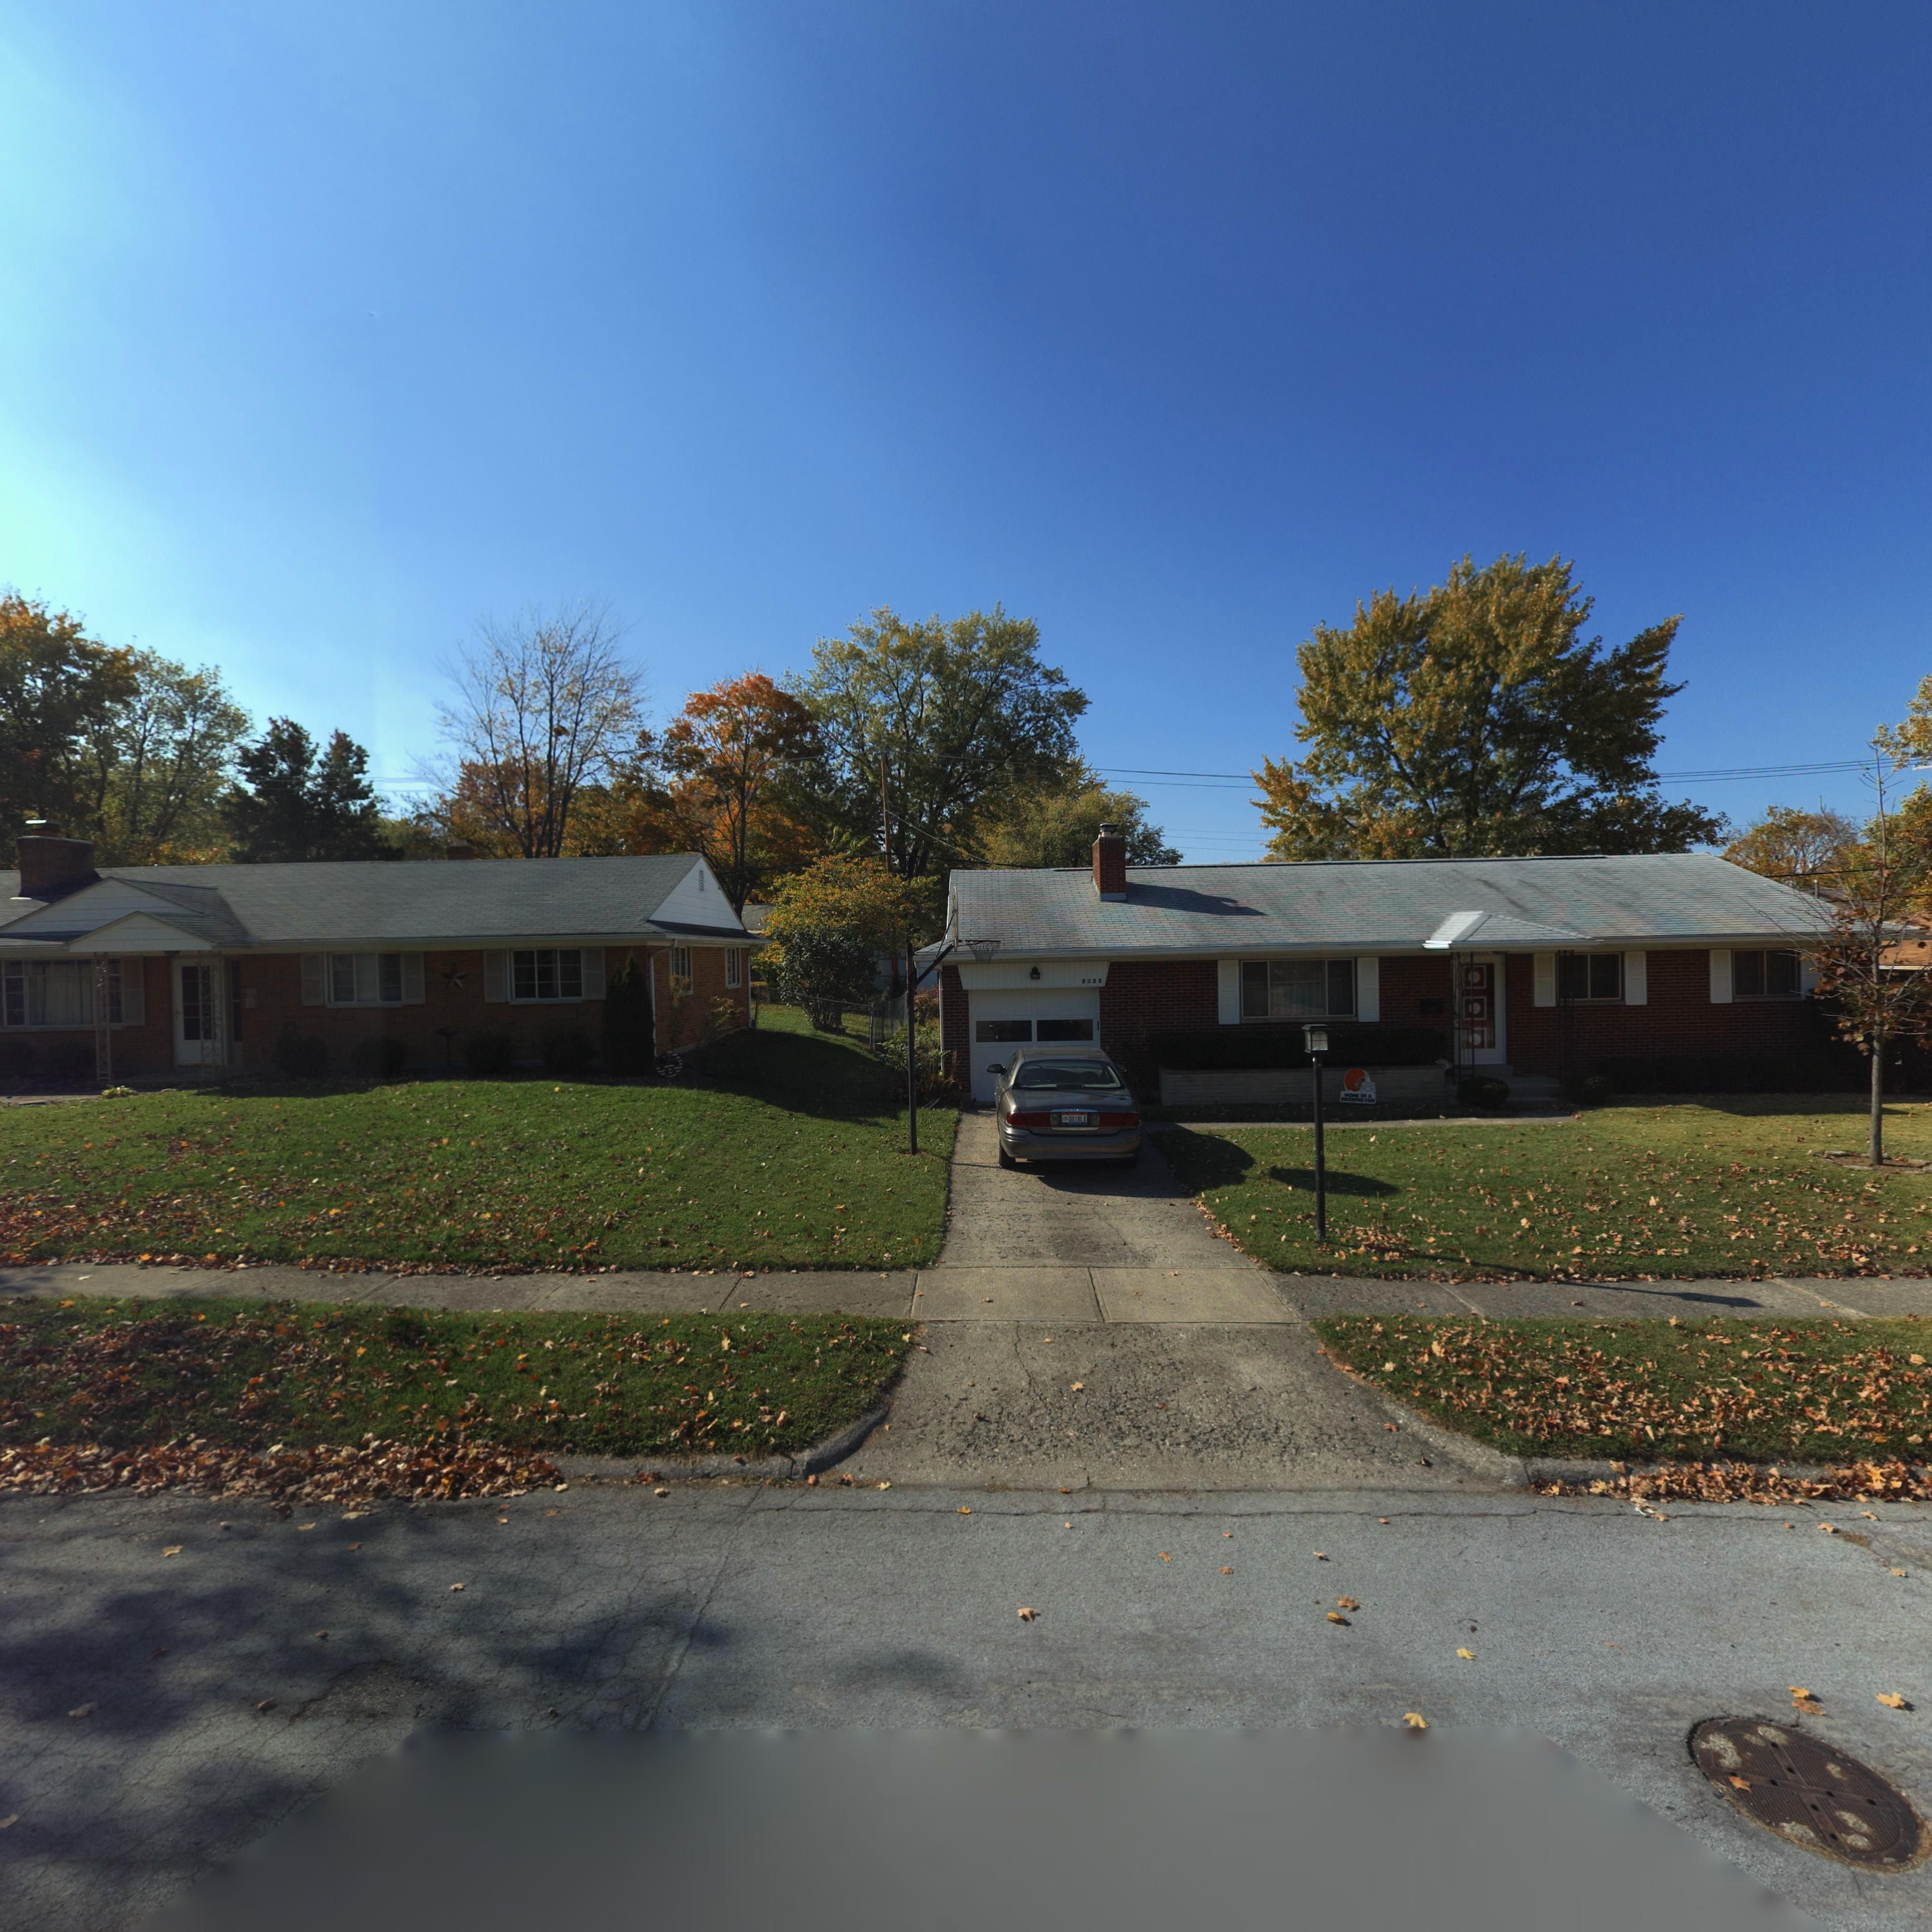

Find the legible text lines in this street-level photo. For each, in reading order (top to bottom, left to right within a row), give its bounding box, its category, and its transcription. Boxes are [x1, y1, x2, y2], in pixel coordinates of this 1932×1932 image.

[1081, 977, 1103, 985] StreetNumber: 3*33
[1360, 1092, 1372, 1099] None: O* A
[1067, 1115, 1087, 1123] None: DX18L*